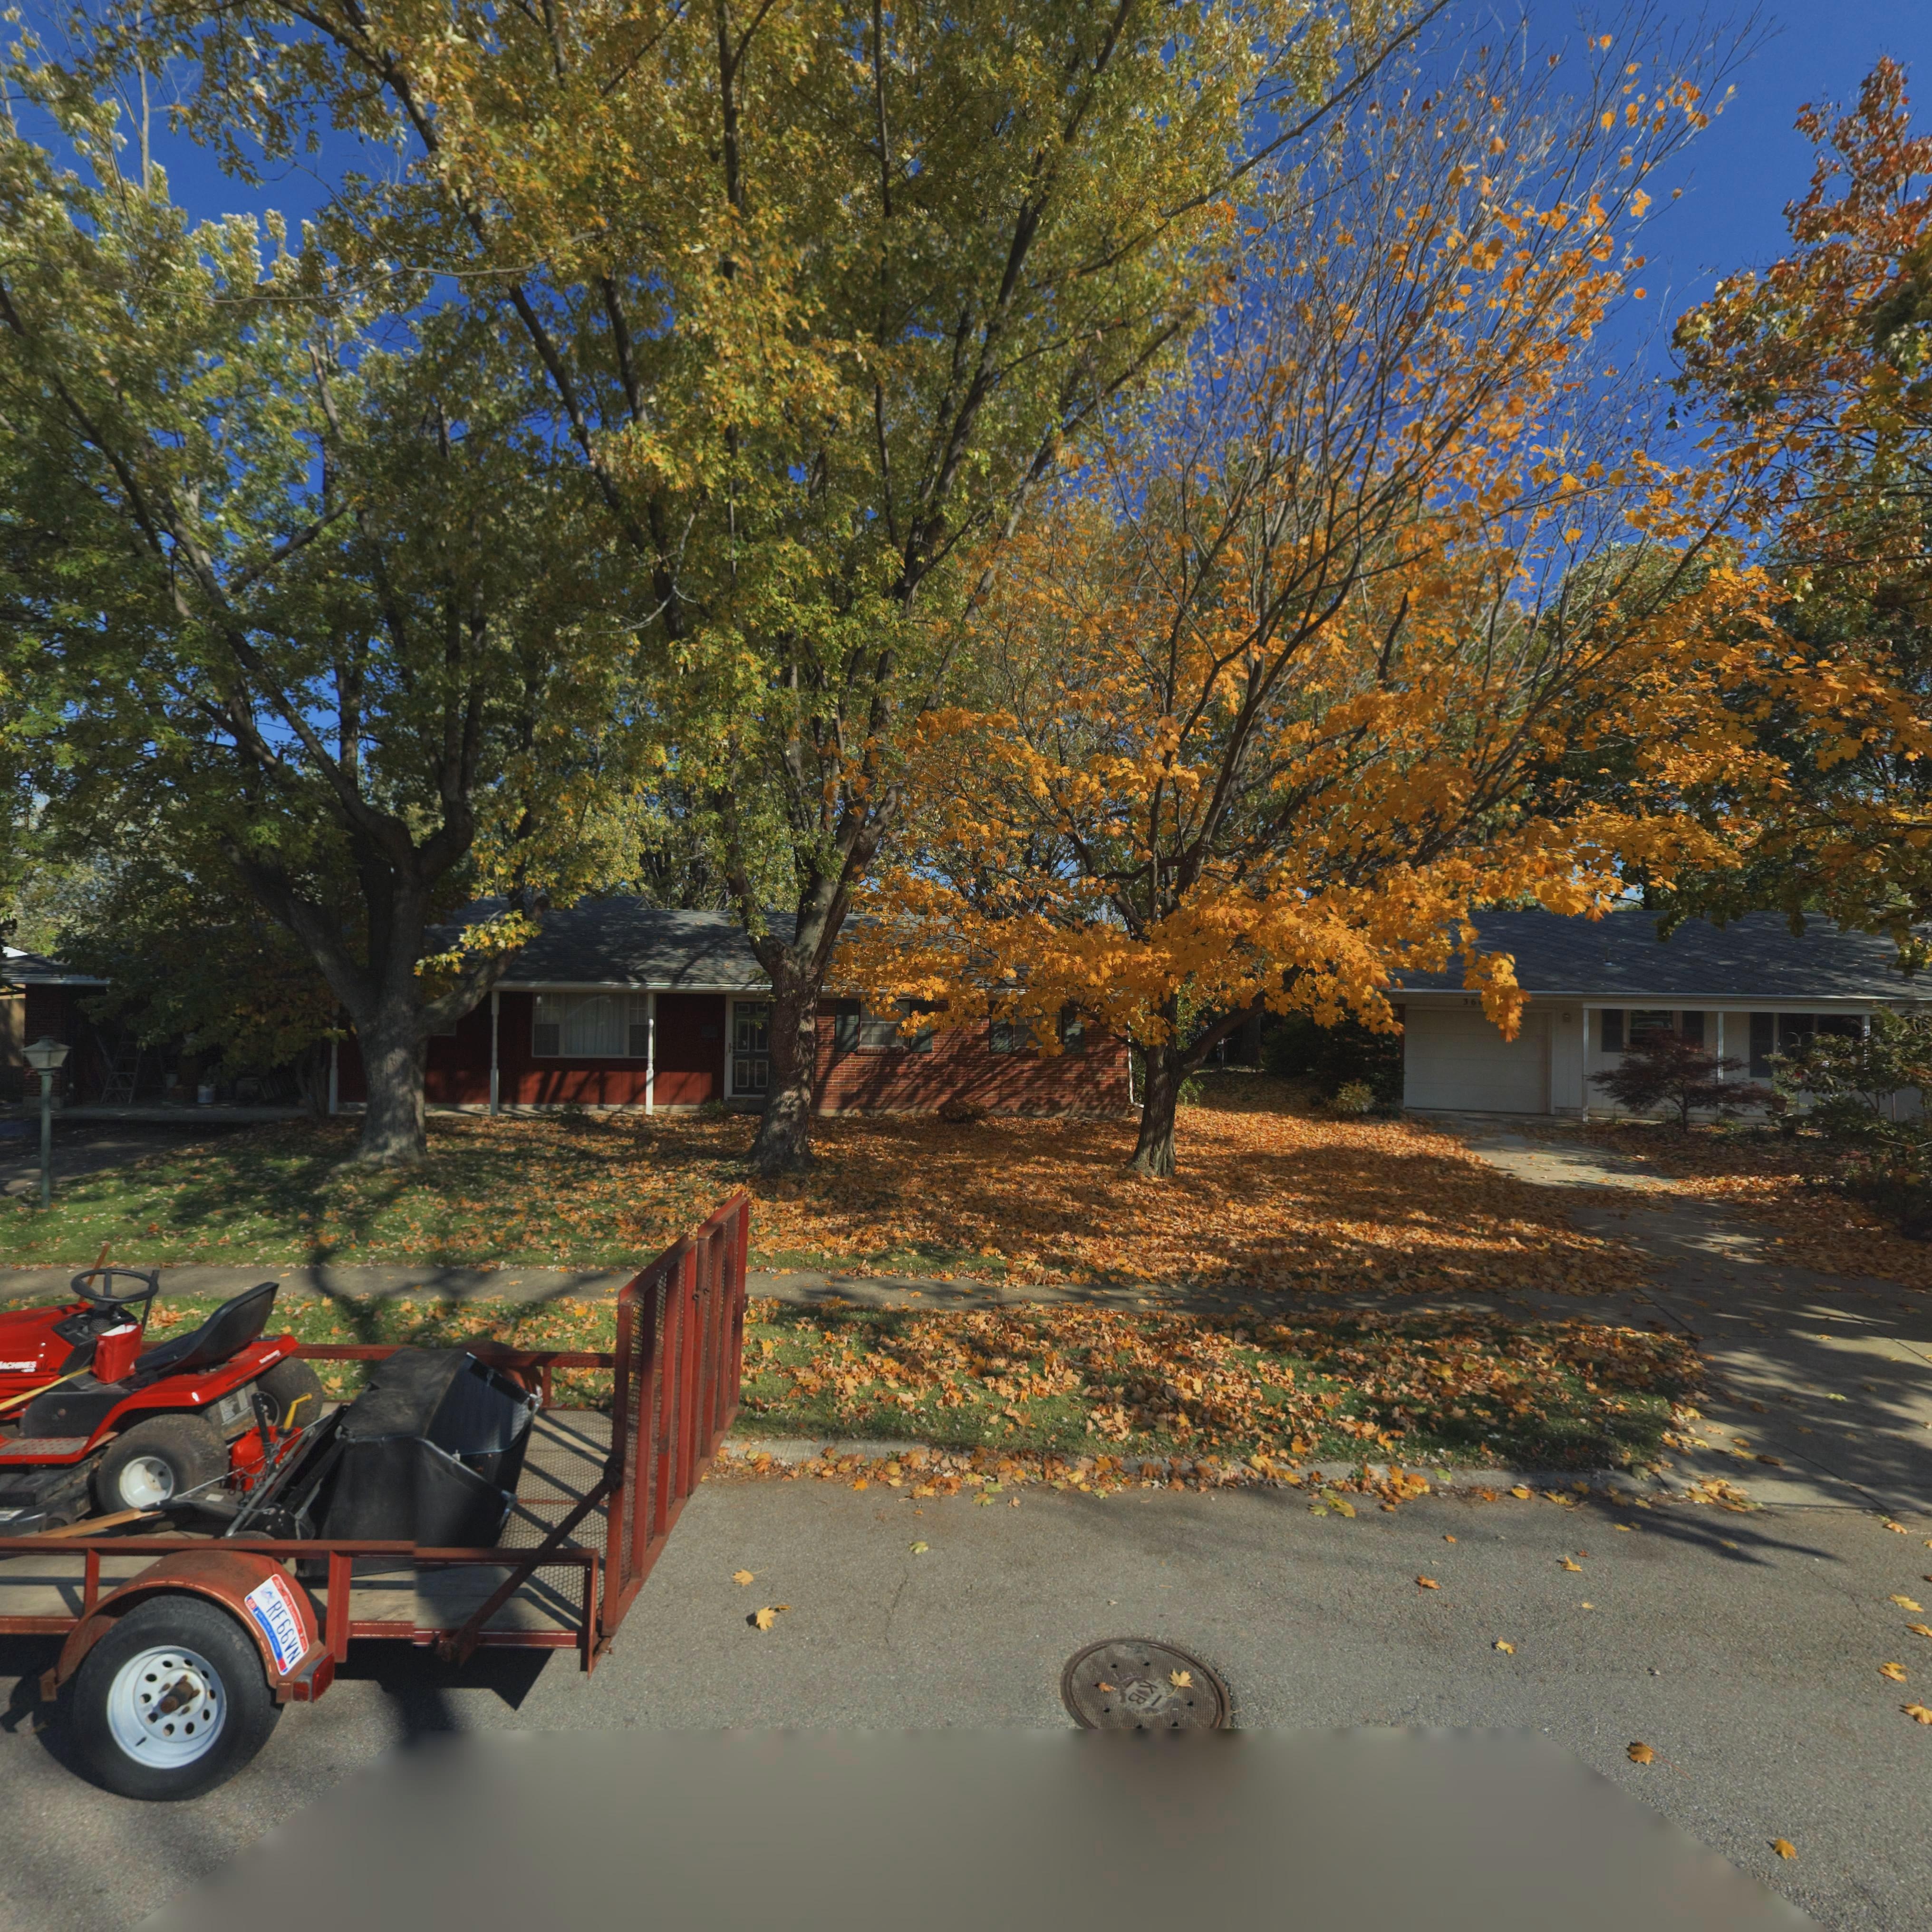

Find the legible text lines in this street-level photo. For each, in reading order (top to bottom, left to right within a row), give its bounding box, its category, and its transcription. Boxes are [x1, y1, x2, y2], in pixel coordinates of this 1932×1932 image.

[1462, 996, 1478, 1007] StreetNumber: 36
[263, 1597, 303, 1667] None: RF66VN